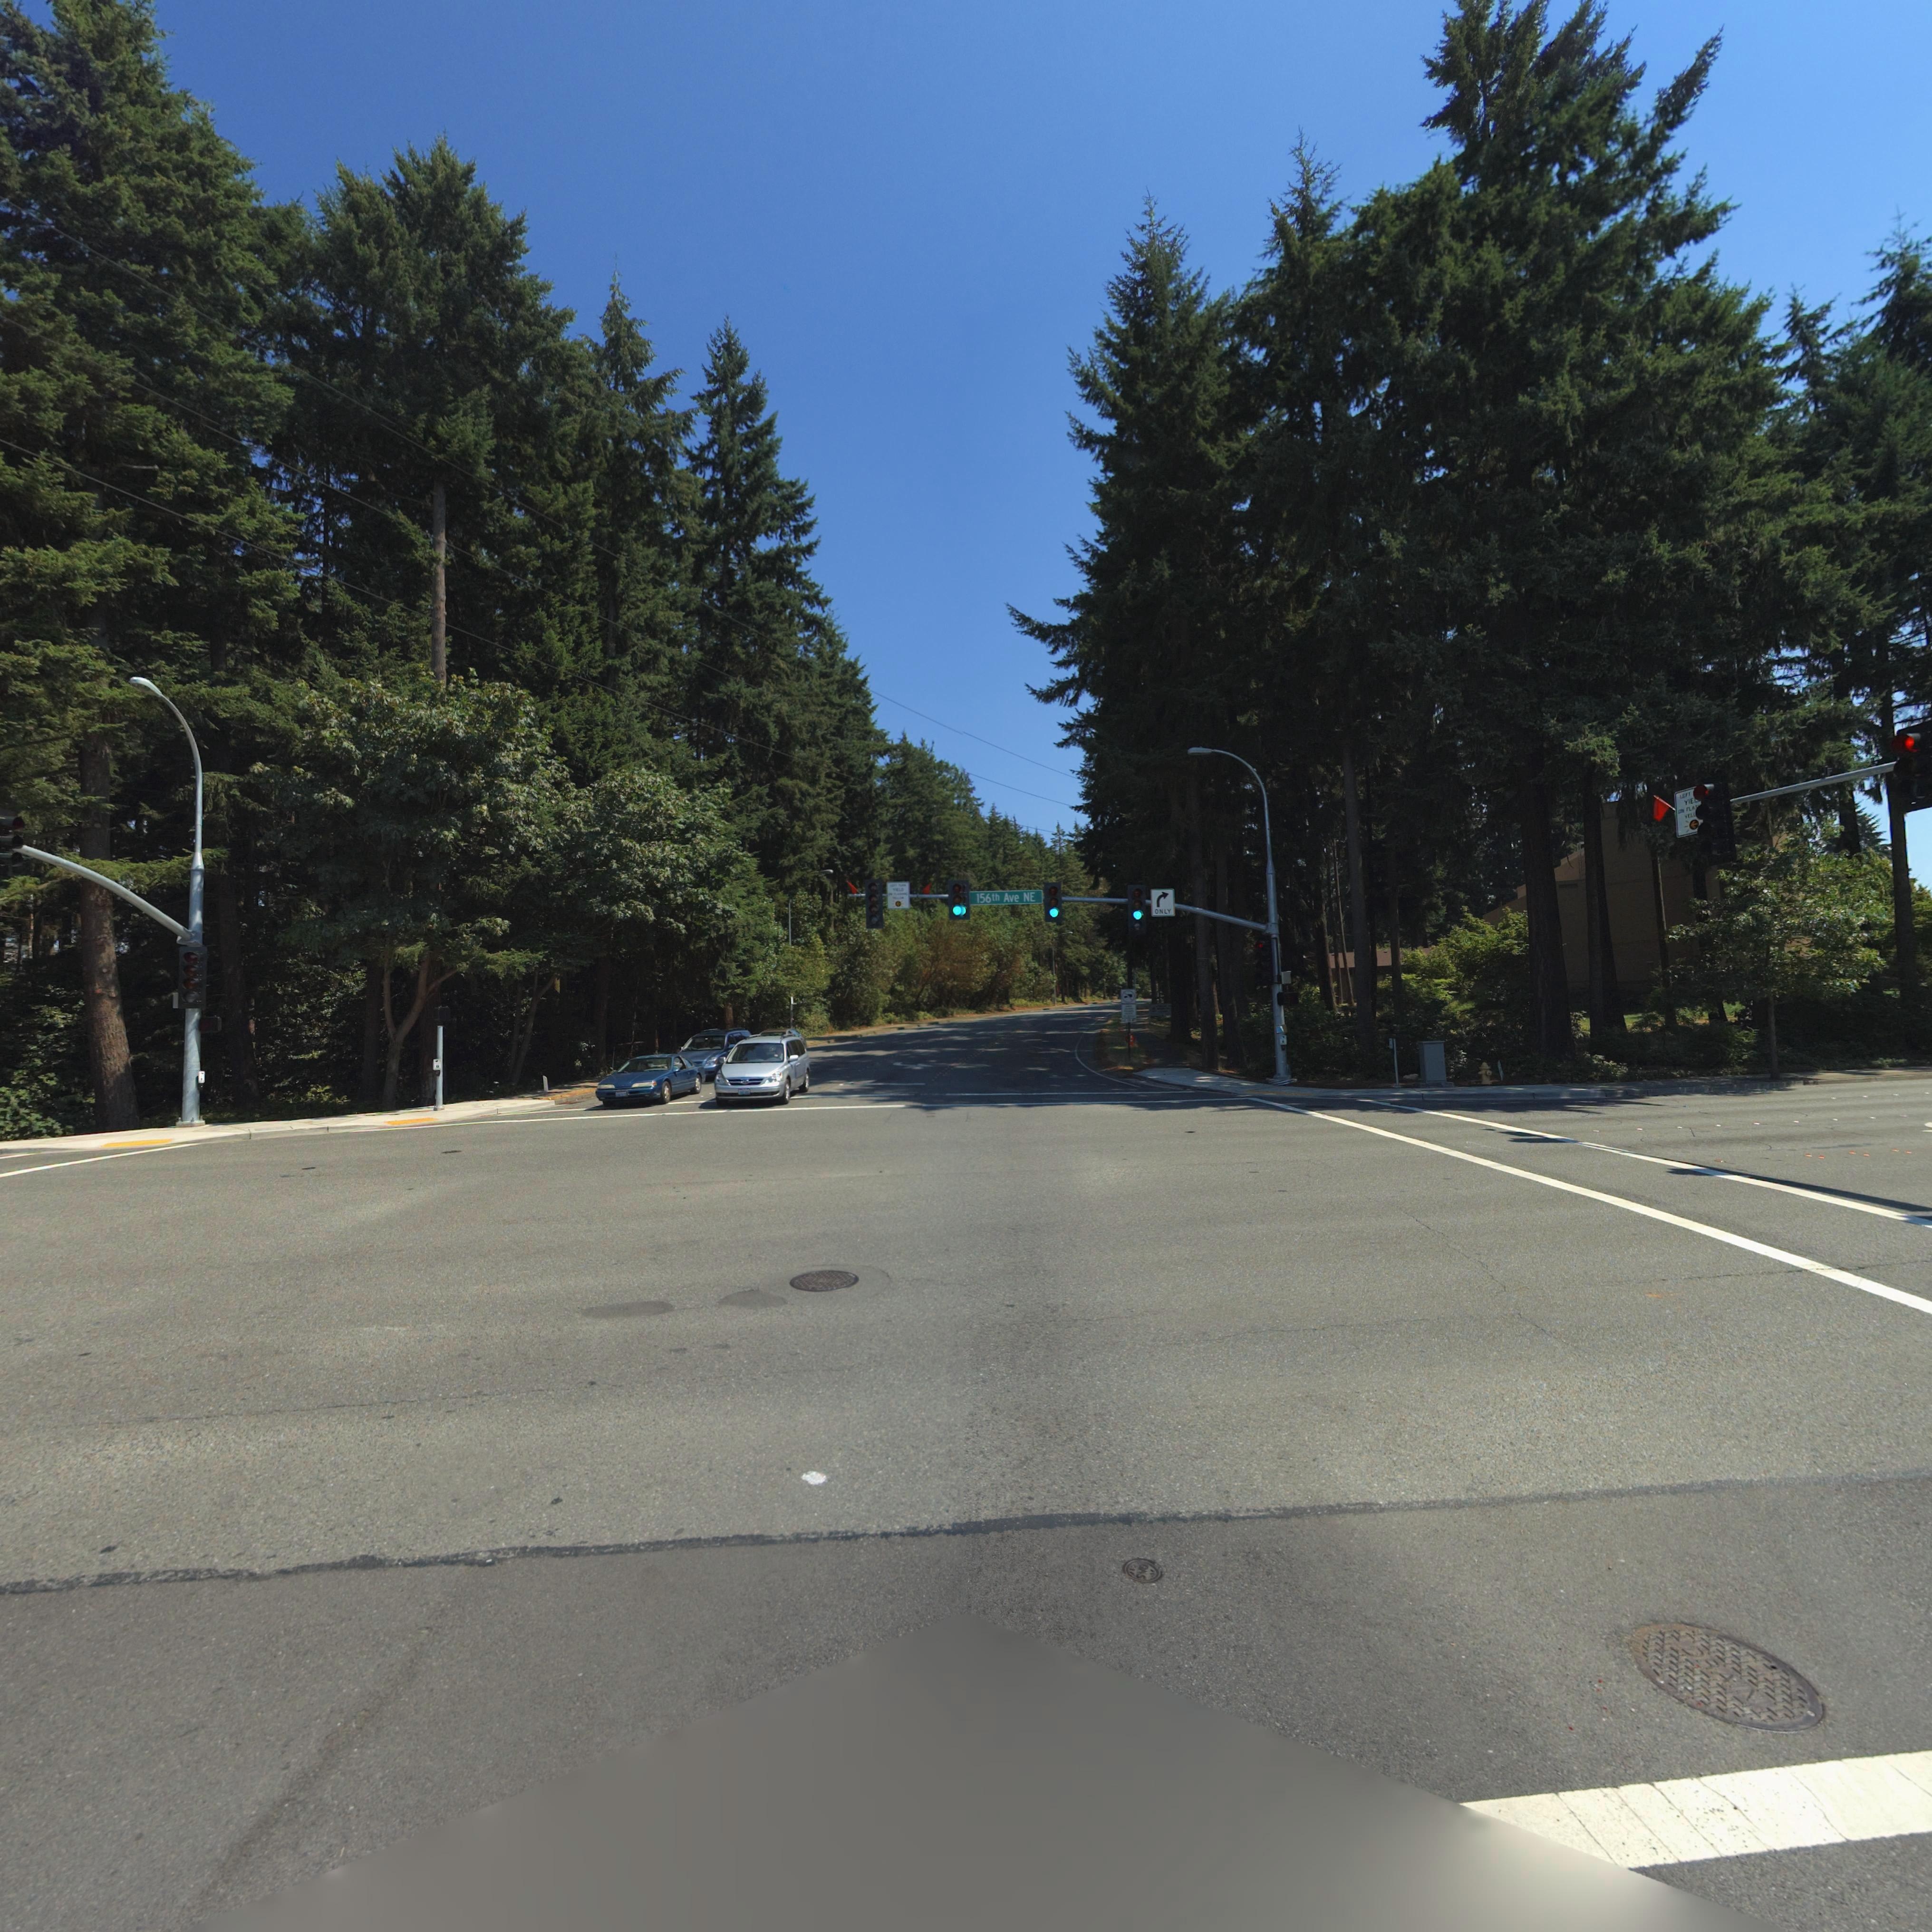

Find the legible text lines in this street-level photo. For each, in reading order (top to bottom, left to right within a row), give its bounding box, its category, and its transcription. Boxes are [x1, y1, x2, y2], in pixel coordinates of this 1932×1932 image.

[975, 890, 1036, 904] StreetName: 156th Ave NE